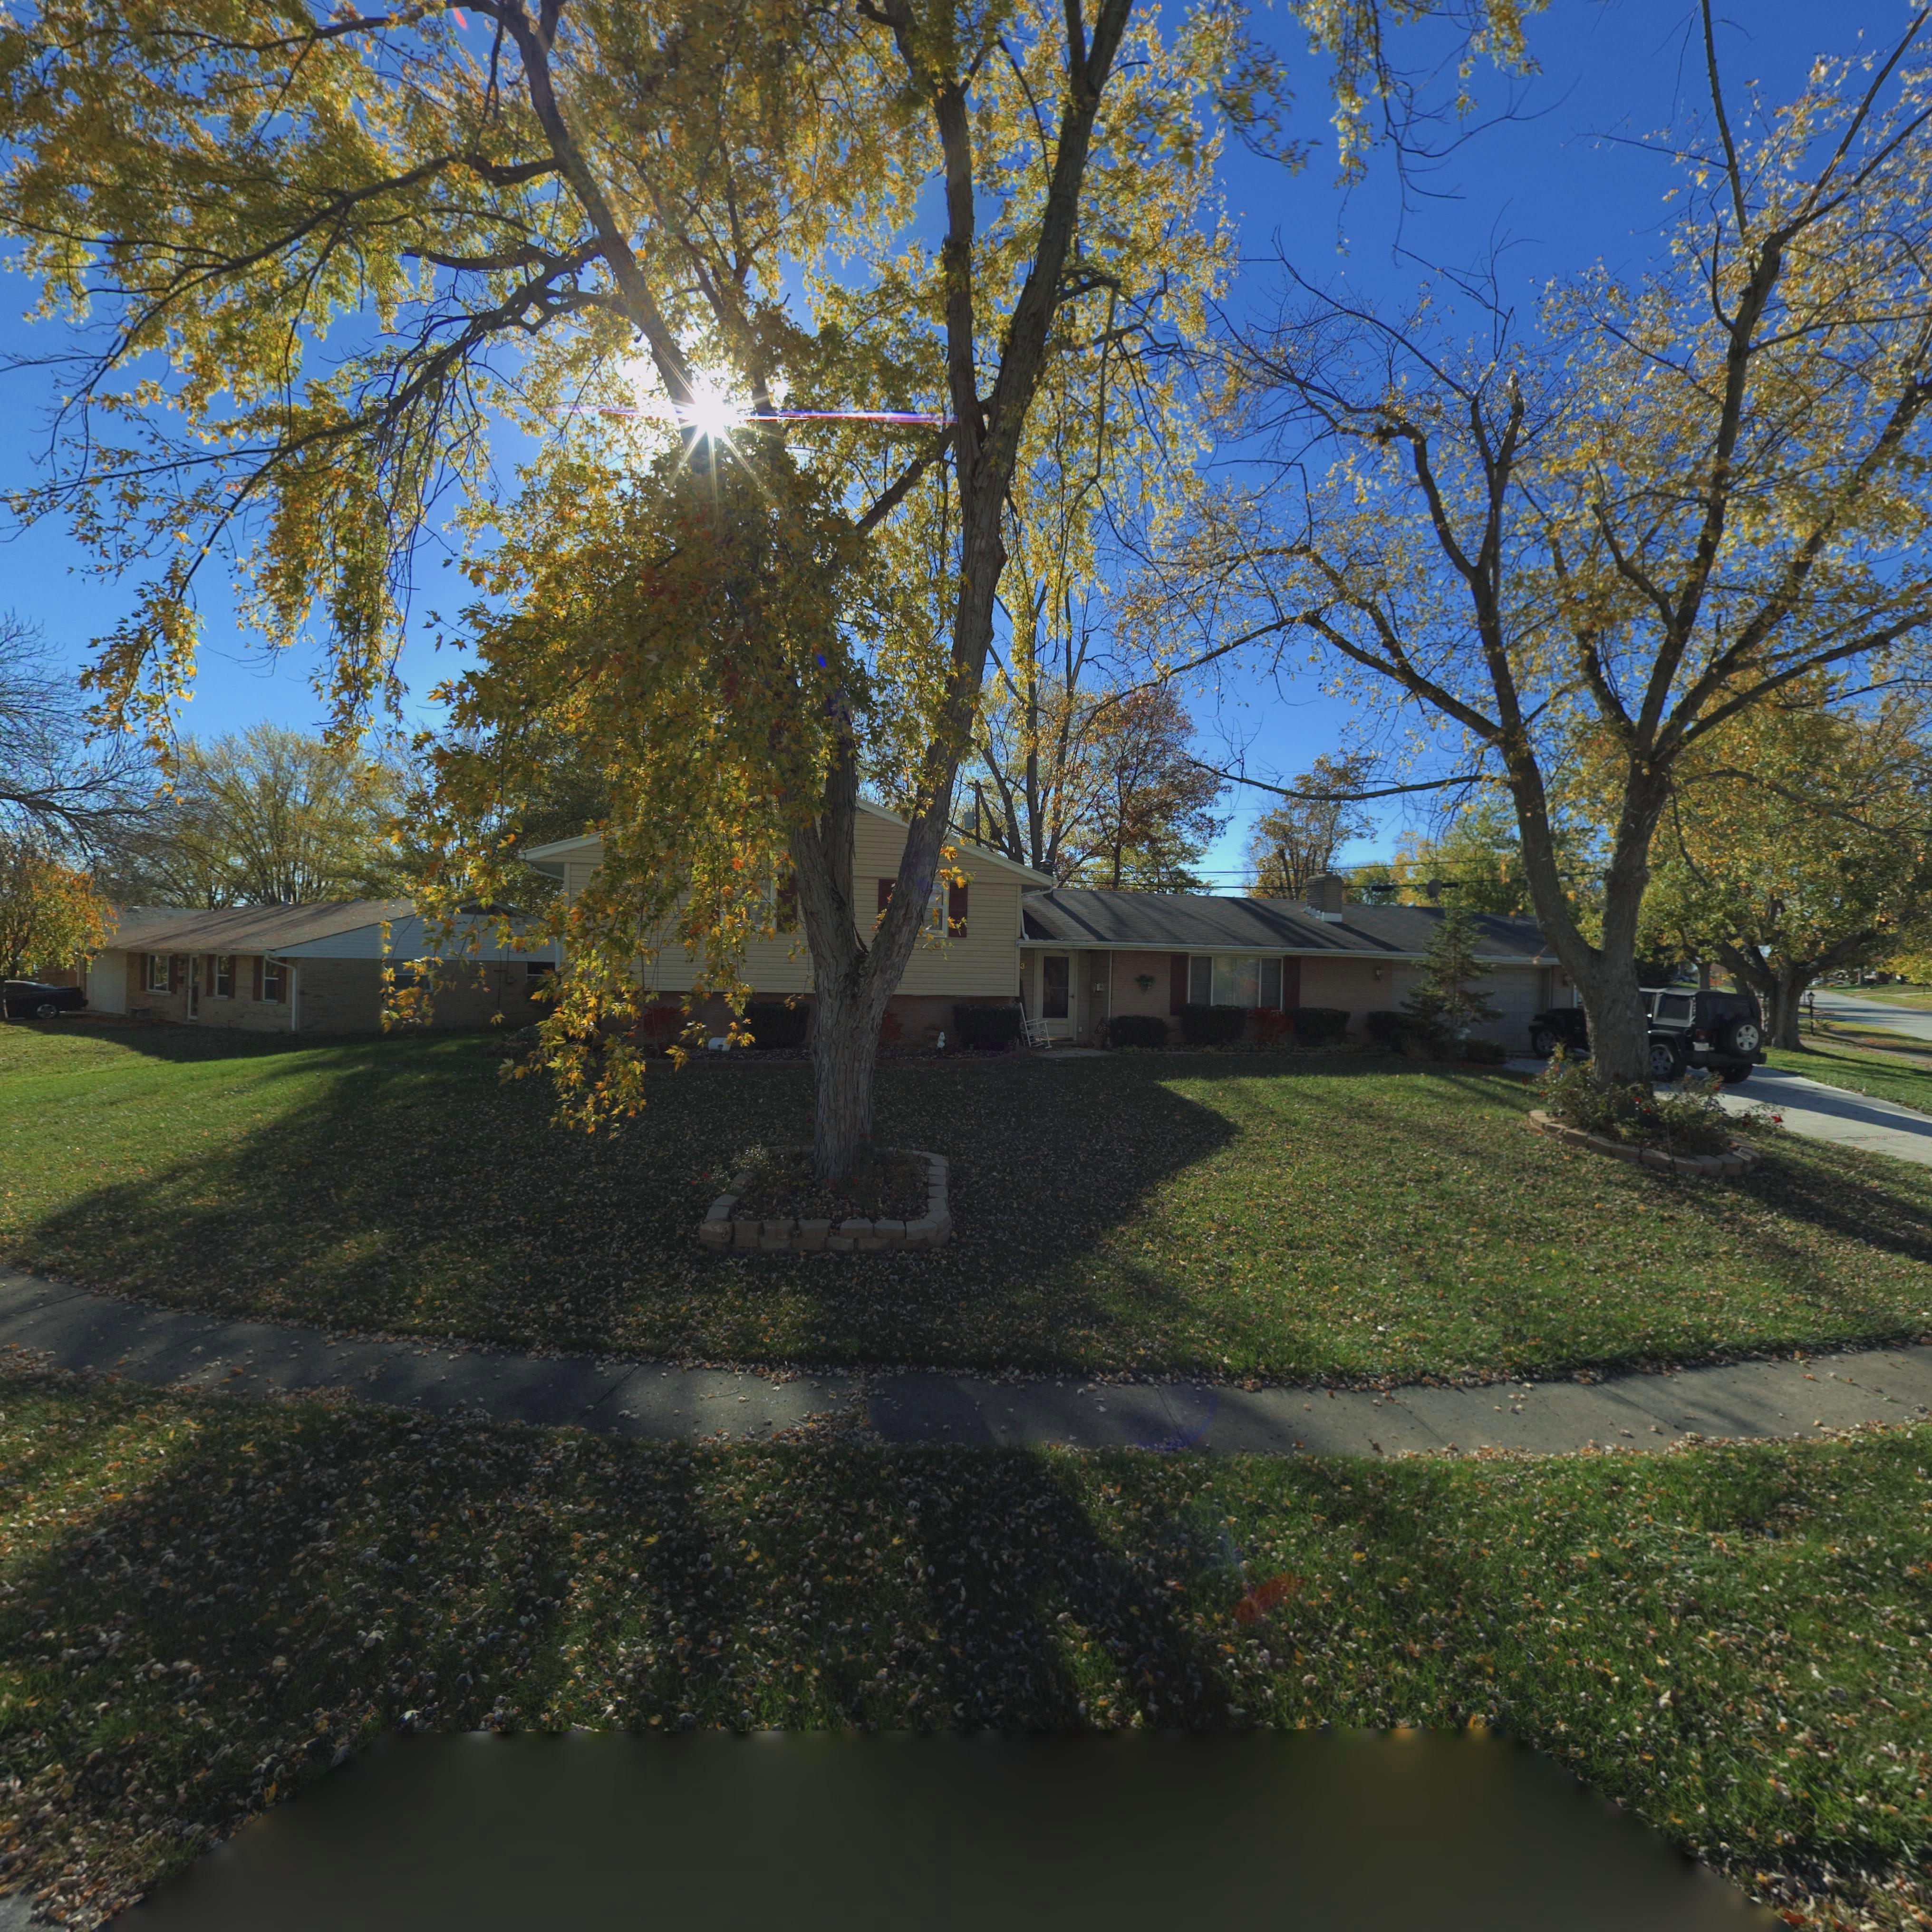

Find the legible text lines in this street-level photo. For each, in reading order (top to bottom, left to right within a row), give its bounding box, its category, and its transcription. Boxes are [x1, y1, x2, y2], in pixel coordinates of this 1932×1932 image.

[1019, 963, 1025, 969] StreetNumber: 3